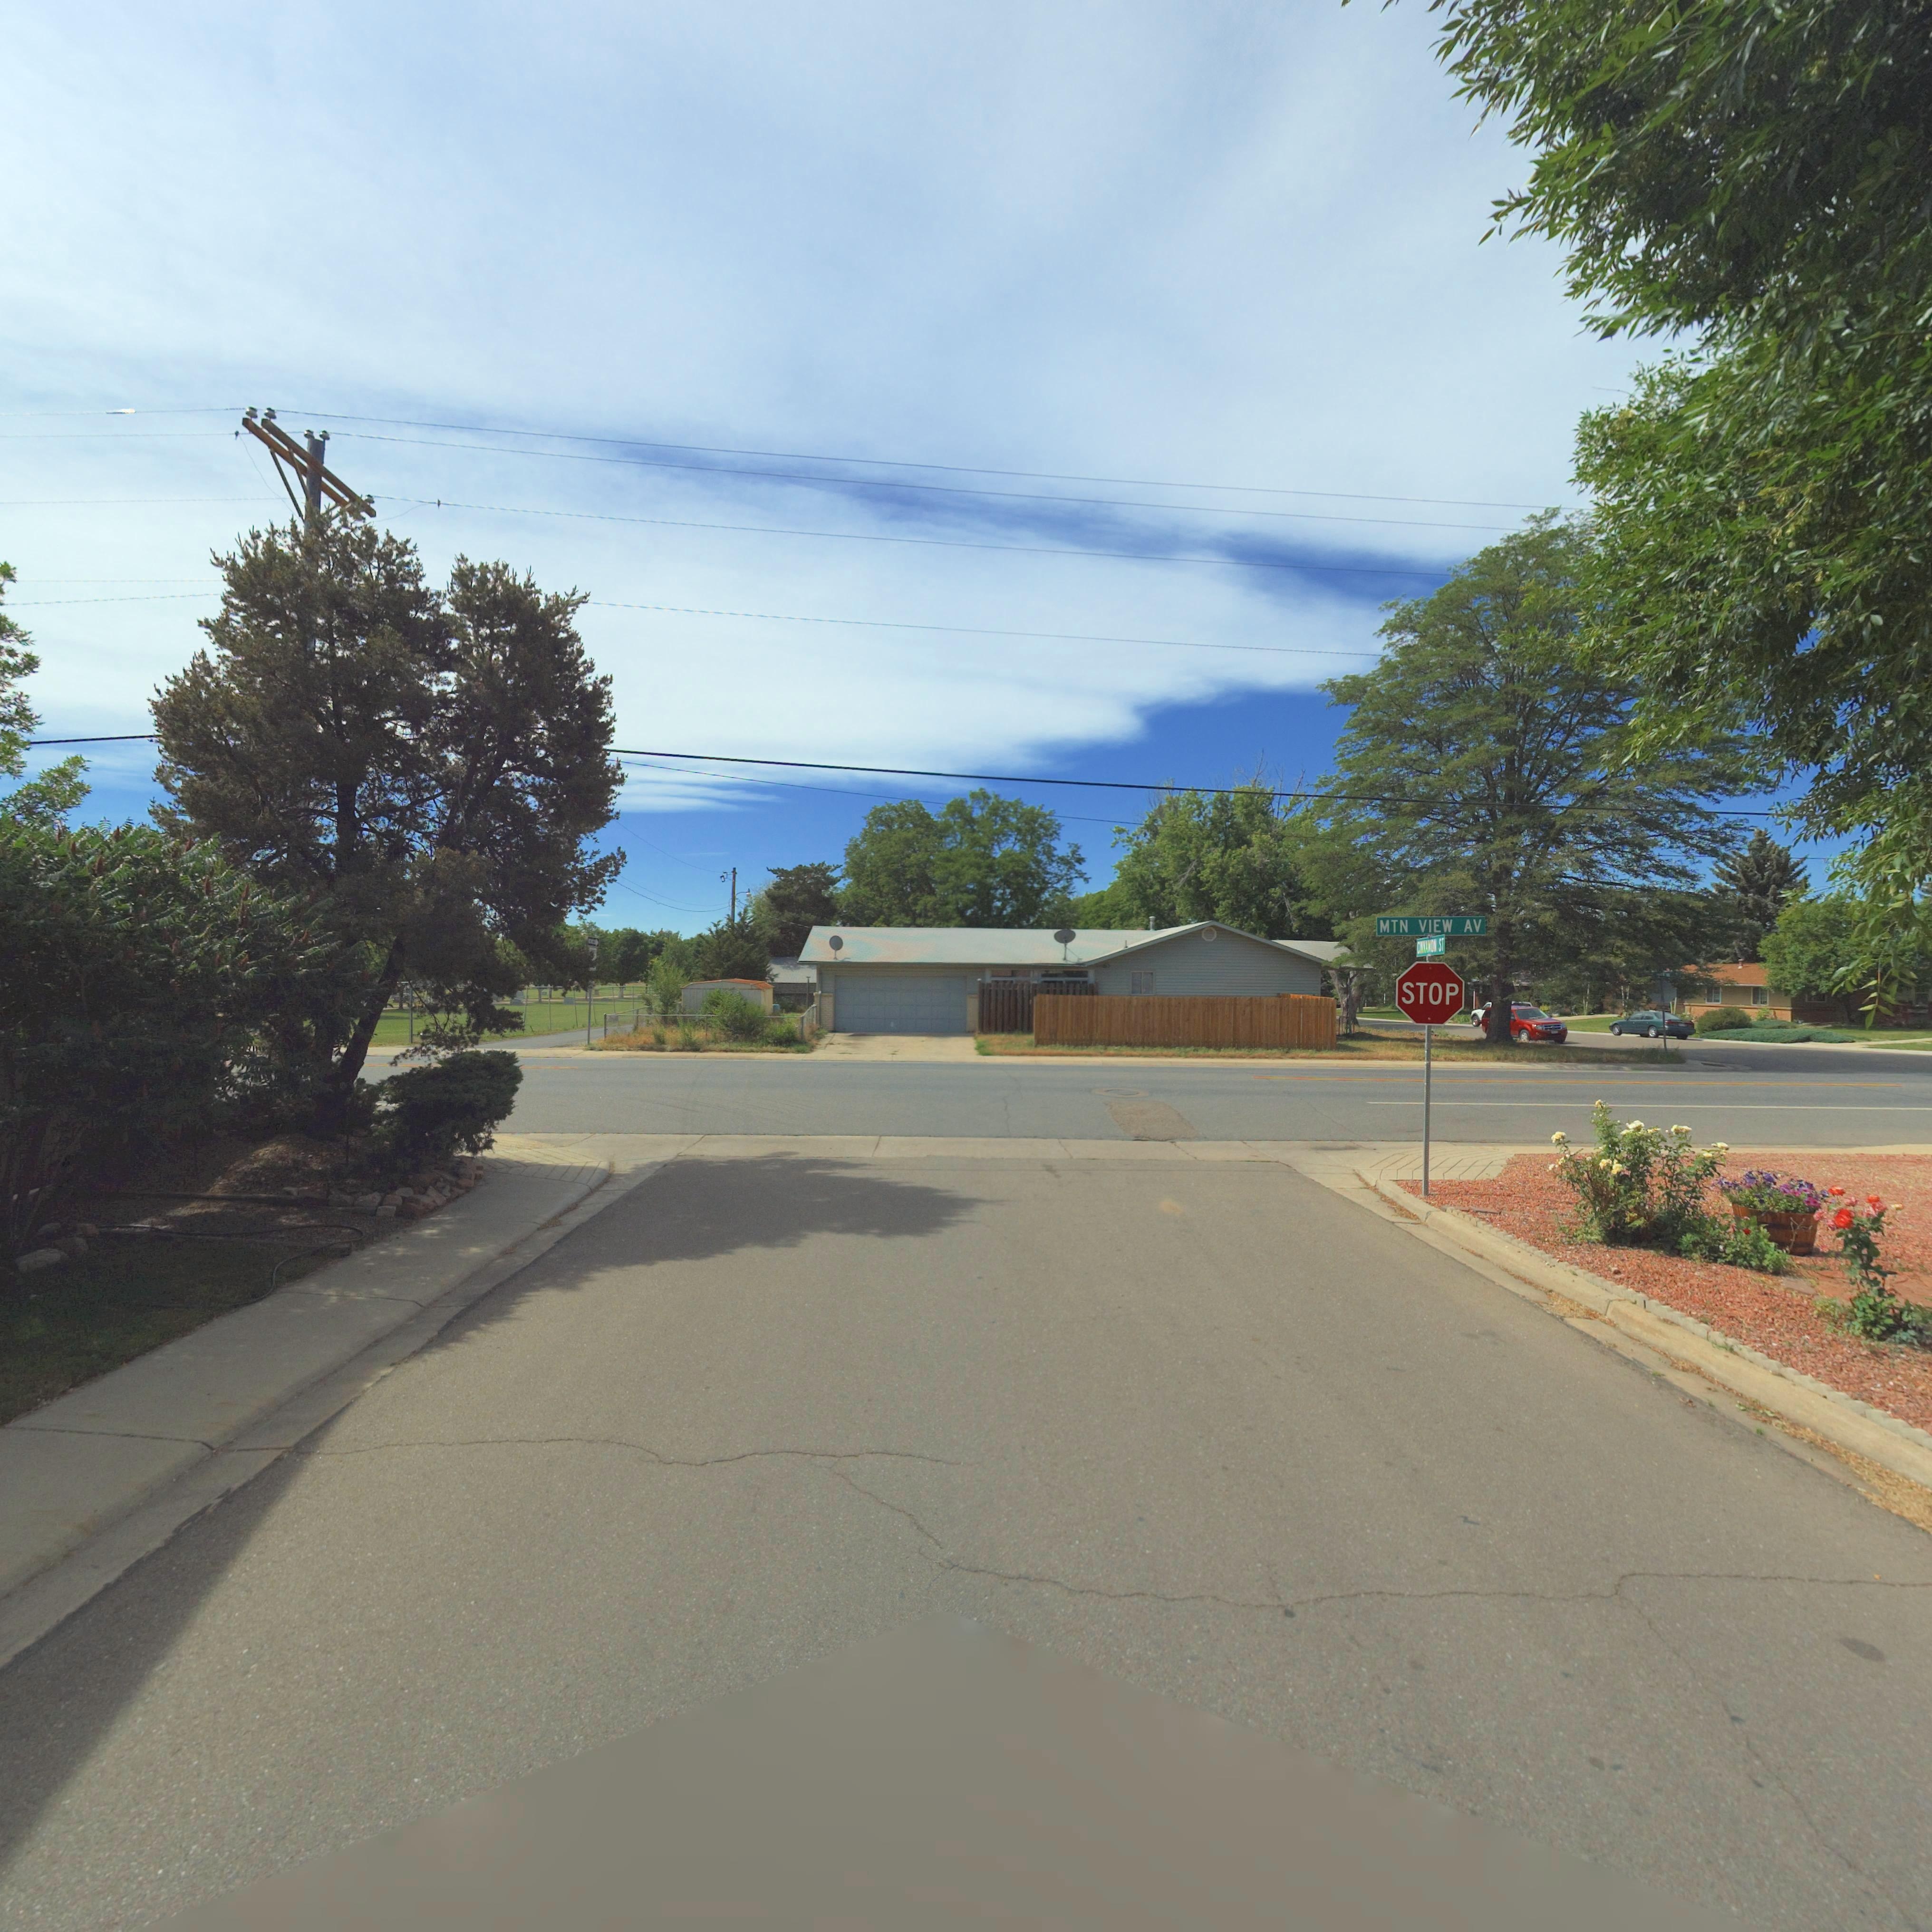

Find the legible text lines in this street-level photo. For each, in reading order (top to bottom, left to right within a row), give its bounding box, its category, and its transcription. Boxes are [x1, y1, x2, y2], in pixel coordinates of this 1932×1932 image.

[1380, 918, 1482, 933] StreetName: MTN VIEW AV
[1417, 937, 1444, 954] StreetName: CINNAMON ST